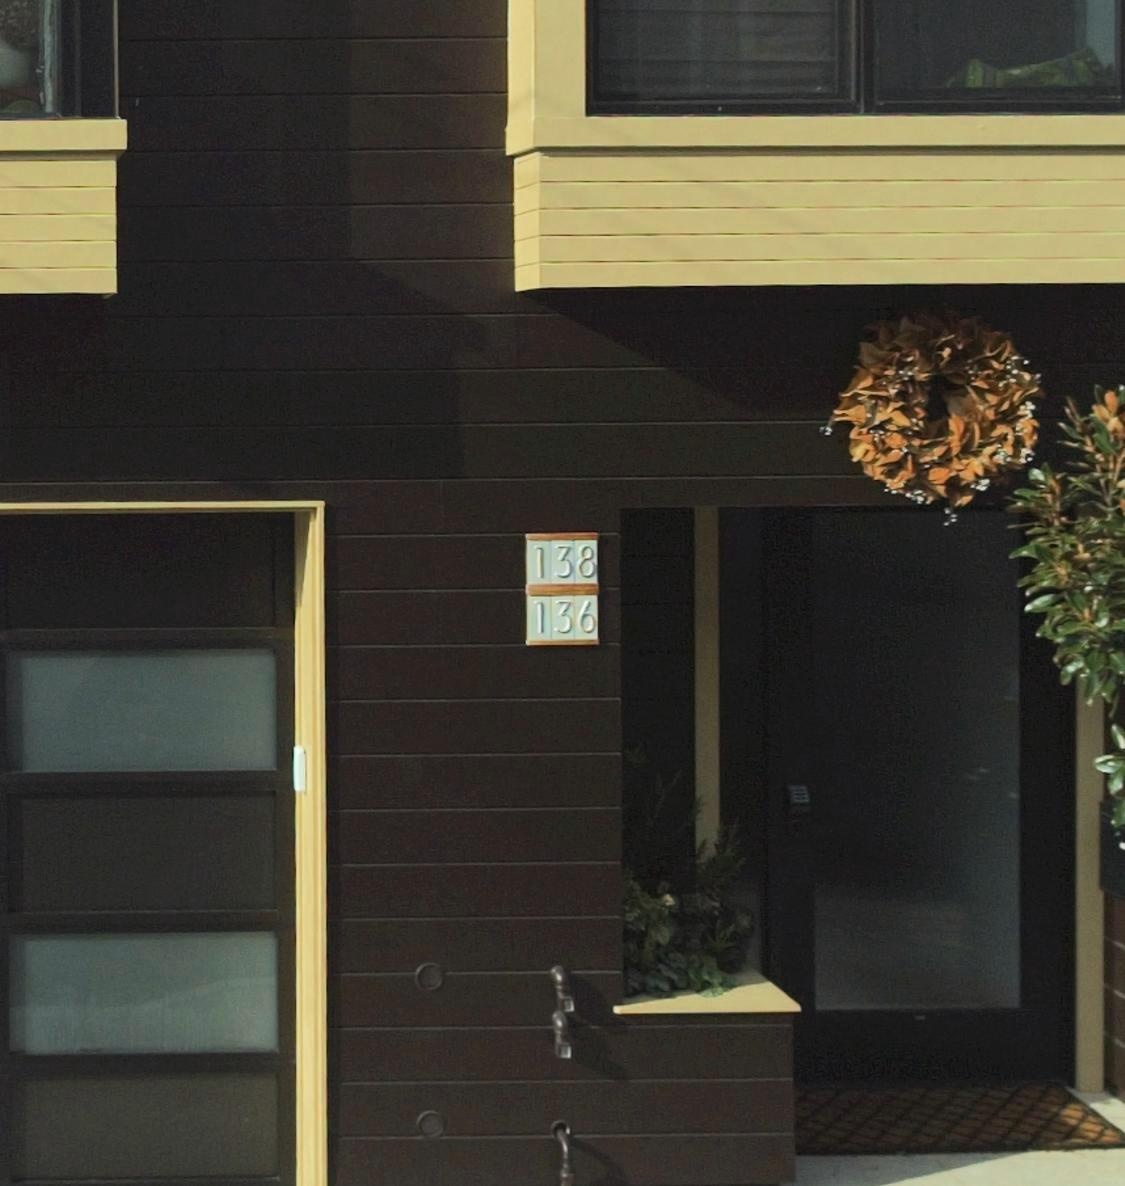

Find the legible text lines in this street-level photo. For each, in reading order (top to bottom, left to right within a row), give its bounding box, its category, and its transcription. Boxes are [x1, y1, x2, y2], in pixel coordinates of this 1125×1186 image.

[532, 542, 599, 582] StreetNumber: 138
[532, 598, 599, 636] StreetNumber: 136